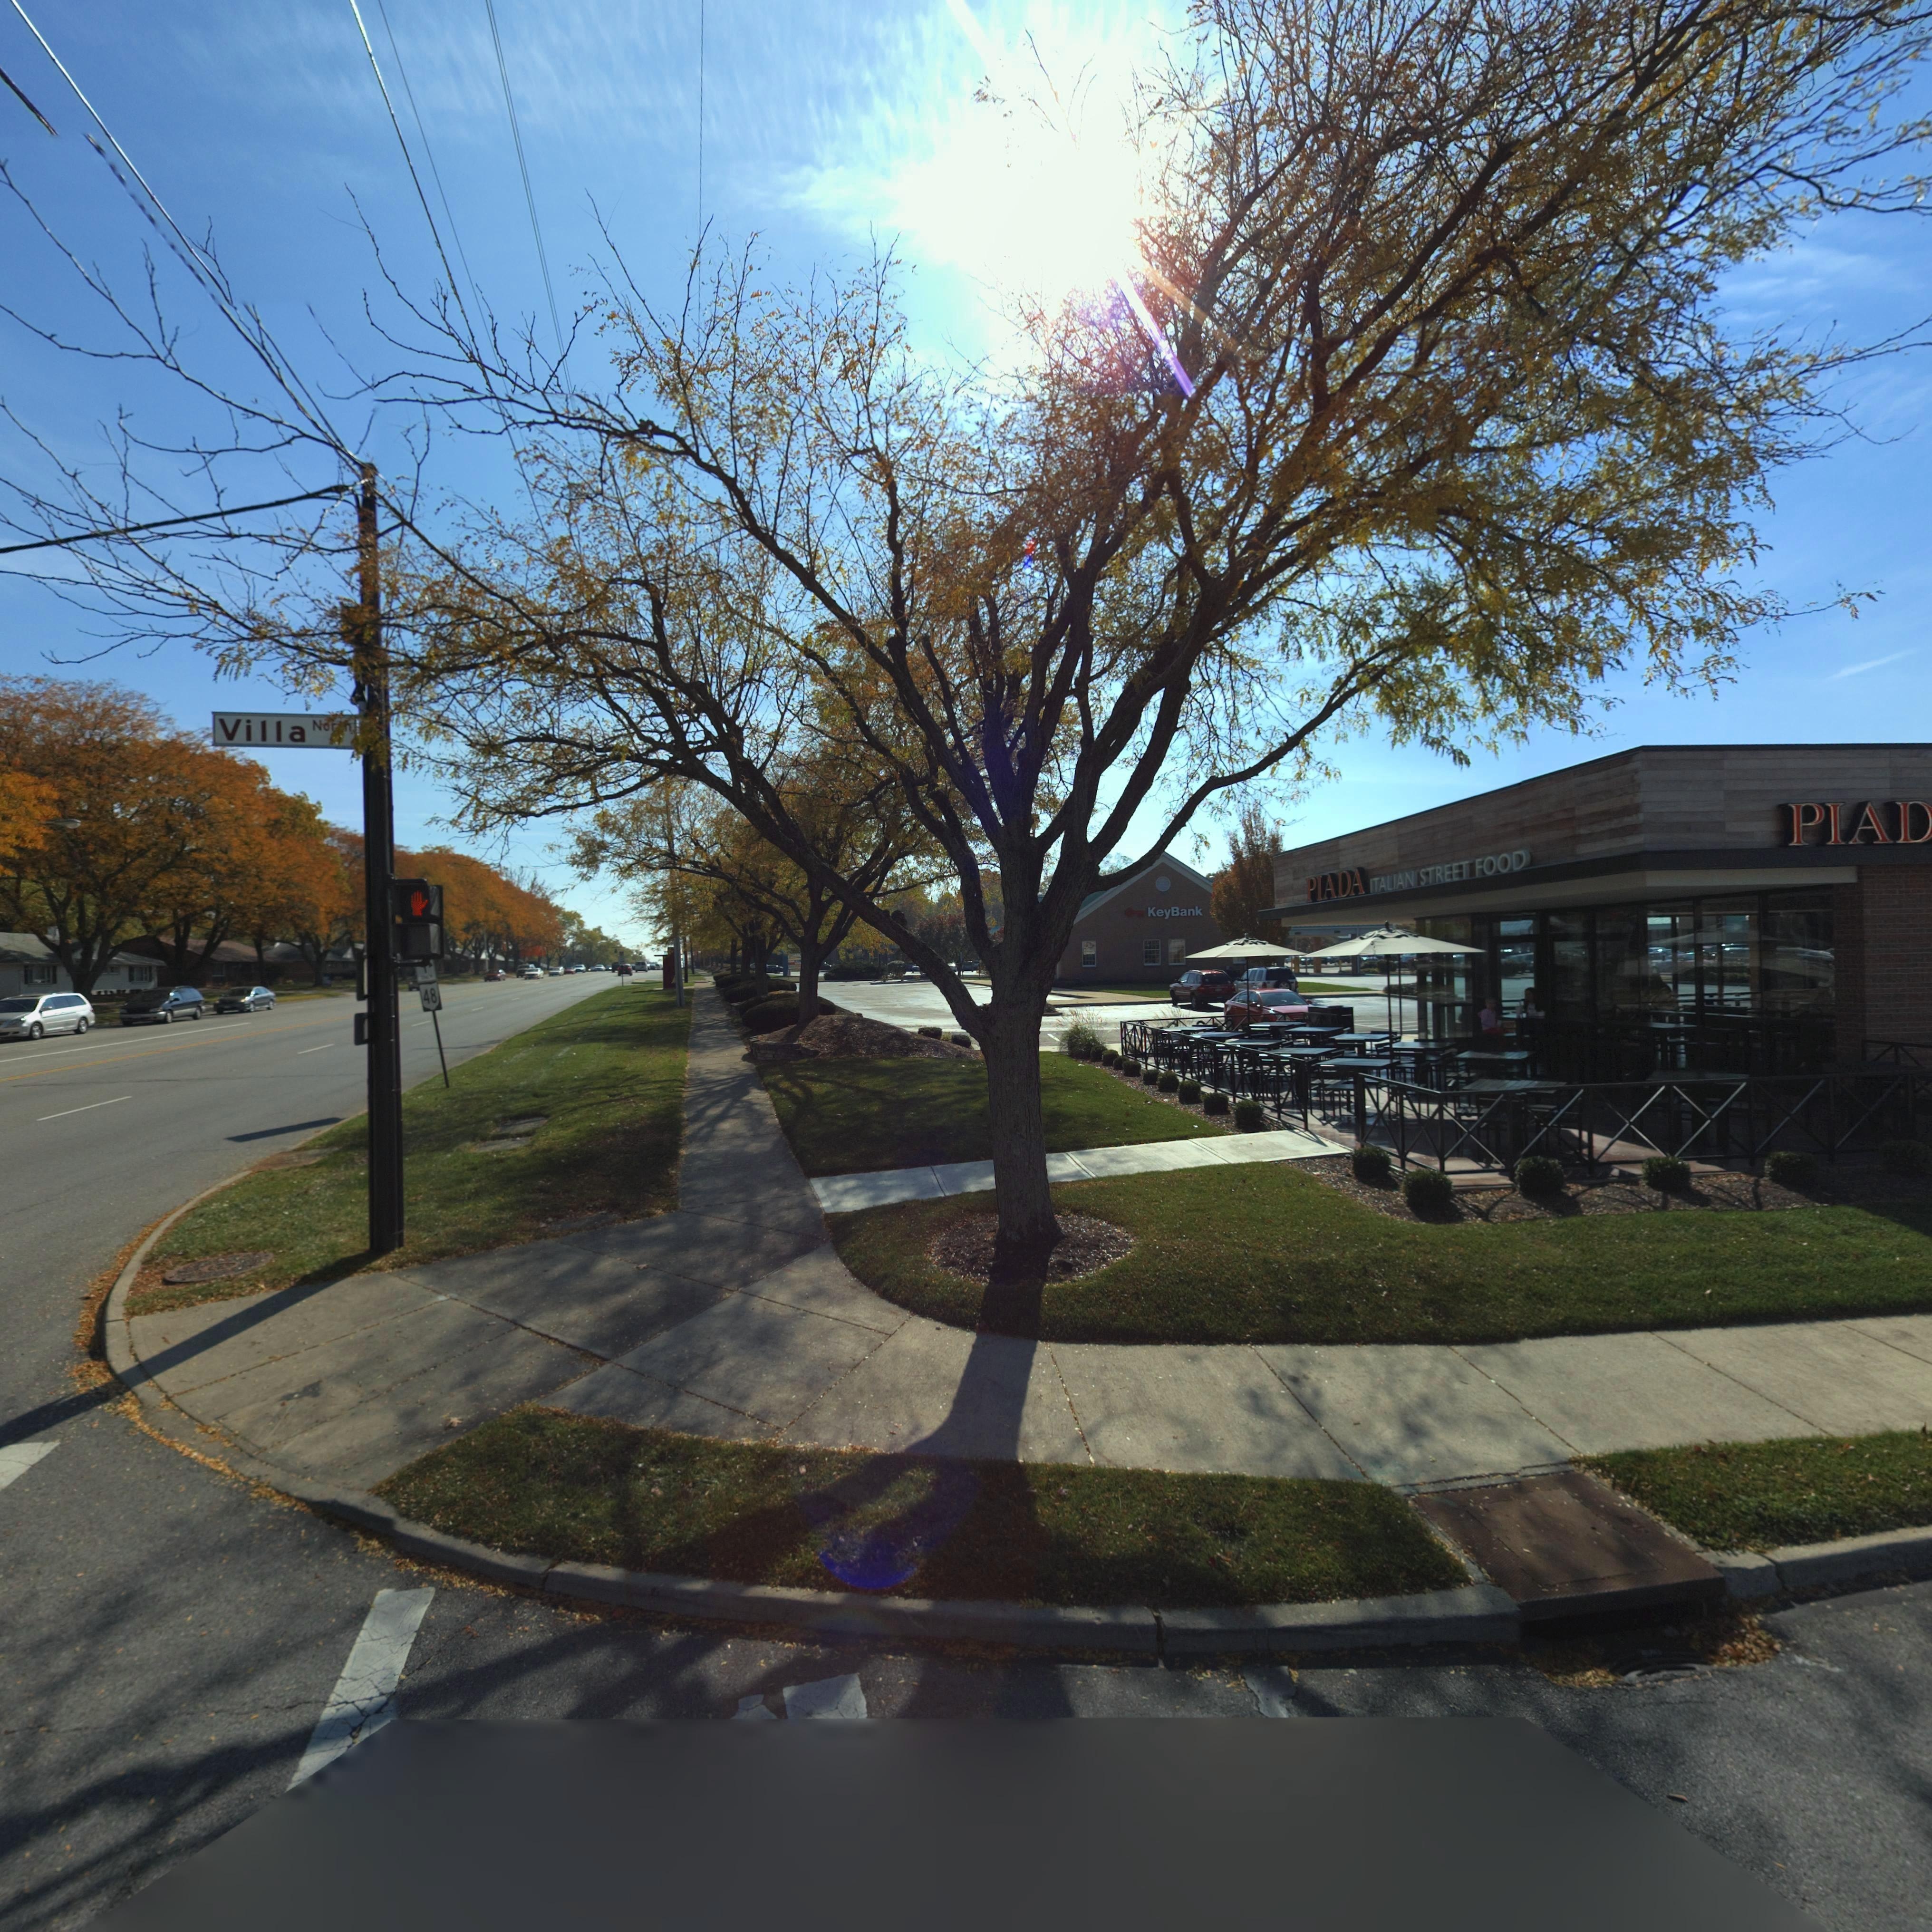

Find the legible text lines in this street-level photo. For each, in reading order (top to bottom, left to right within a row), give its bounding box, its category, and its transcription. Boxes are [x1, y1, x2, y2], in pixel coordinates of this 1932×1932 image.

[214, 715, 324, 744] StreetName: Villa N
[1784, 800, 1897, 847] BusinessName: PIA
[1304, 848, 1529, 904] BusinessName: PIADA ITALIAN STREET FOOD
[1147, 905, 1204, 920] BusinessName: KeyBank